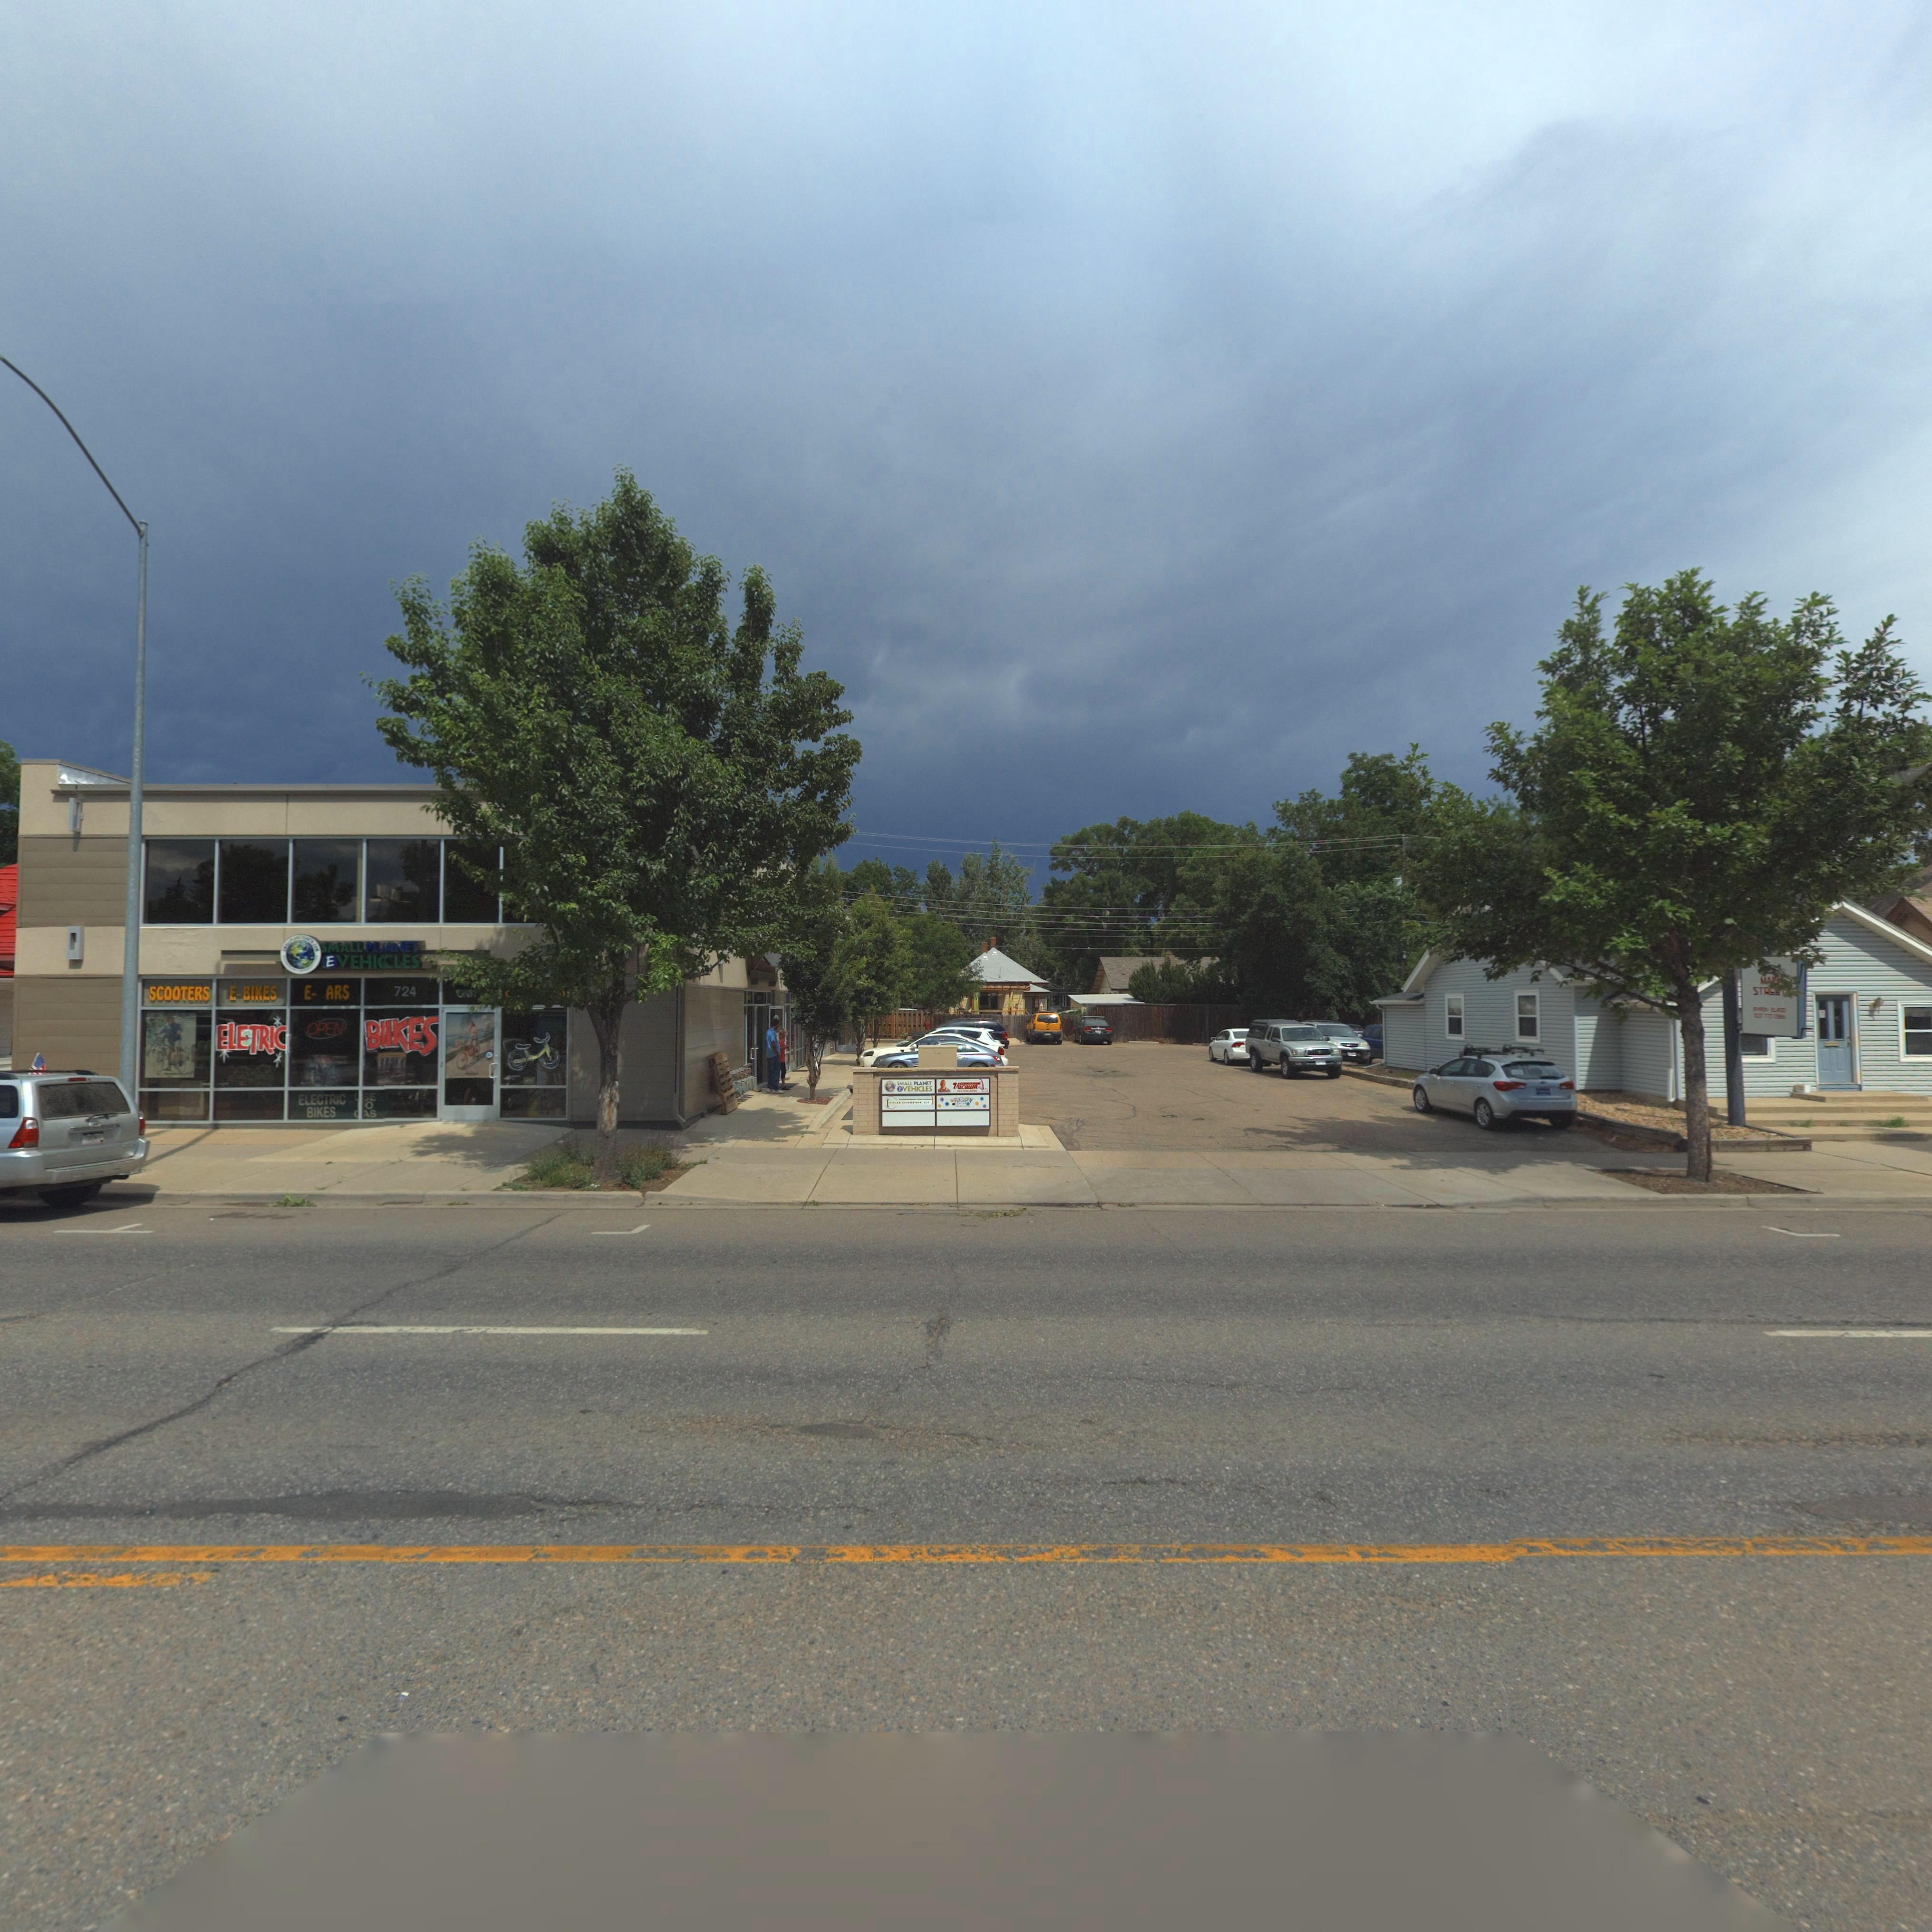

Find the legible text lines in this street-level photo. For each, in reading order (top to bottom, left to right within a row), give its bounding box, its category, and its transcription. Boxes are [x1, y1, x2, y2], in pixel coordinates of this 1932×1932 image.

[320, 941, 420, 953] BusinessName: SMALLPLANET
[325, 954, 420, 969] BusinessName: EVEHICLES
[1760, 975, 1779, 985] StreetName: M**
[1752, 986, 1781, 996] StreetName: STR**
[897, 1081, 932, 1085] BusinessName: SMALL PLANET
[898, 1086, 932, 1092] BusinessName: EVEHICLES
[952, 1082, 977, 1089] BusinessName: Vacums
[889, 1101, 929, 1104] BusinessName: F****** ********